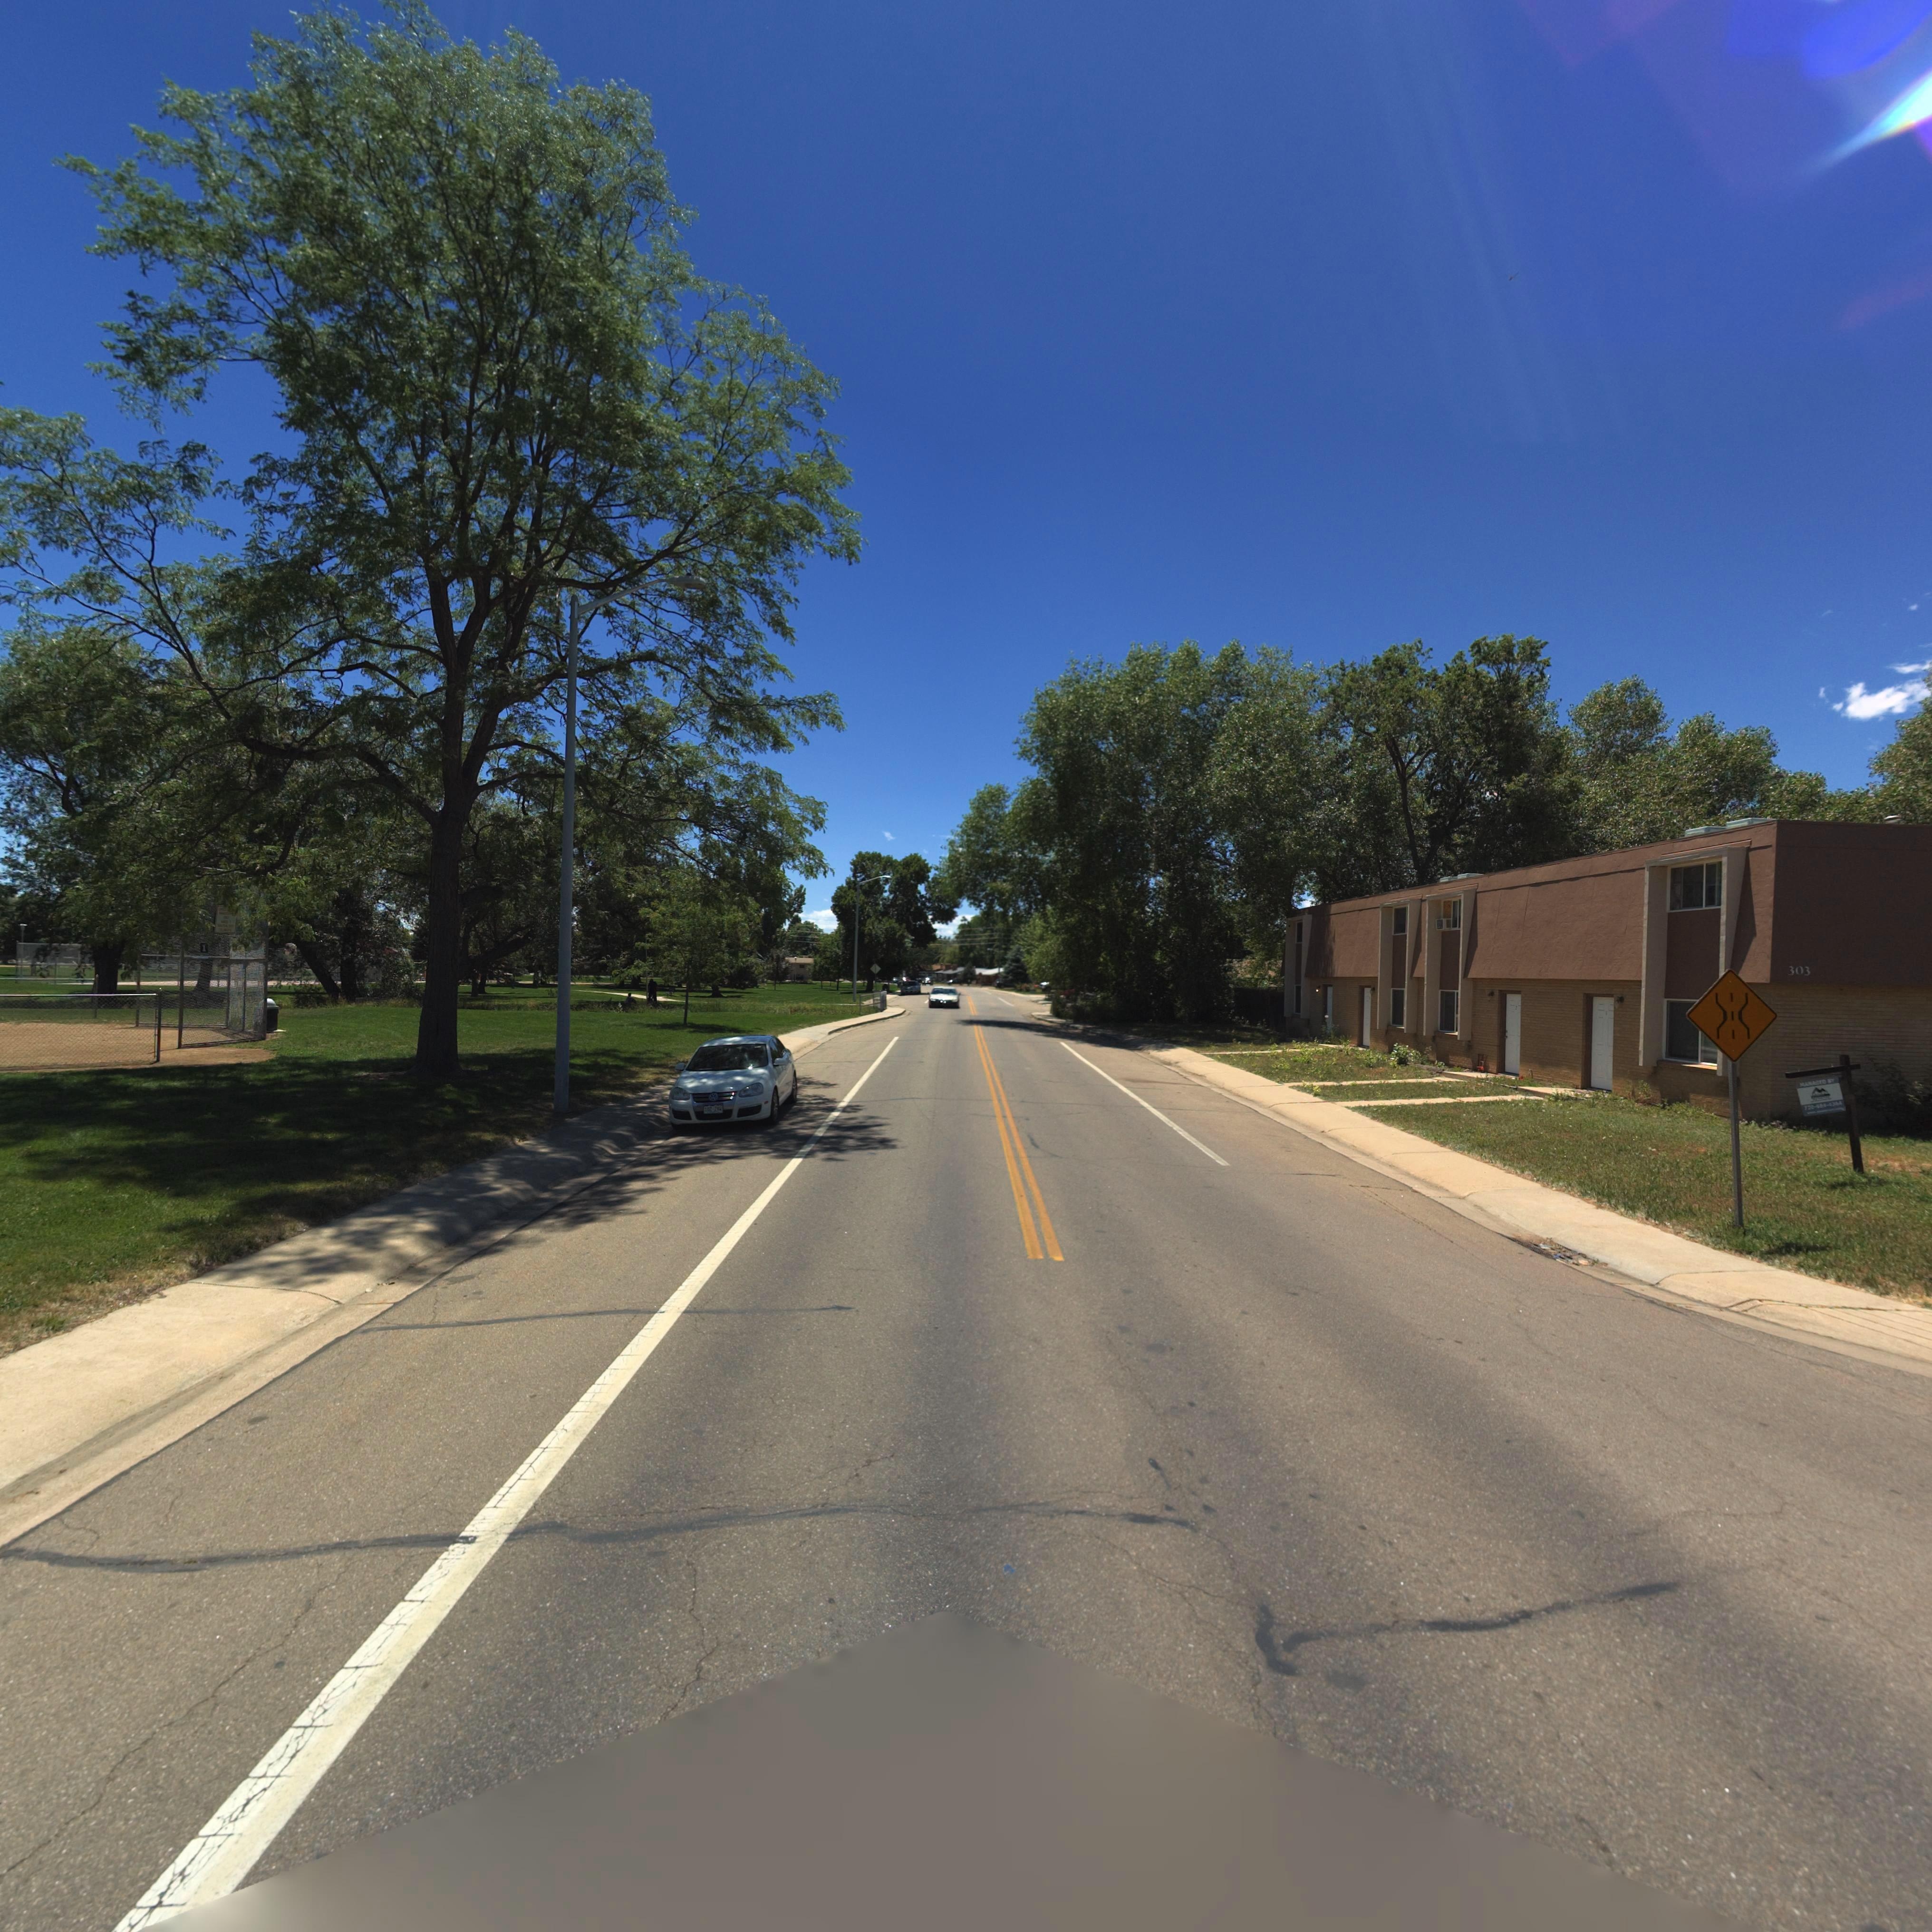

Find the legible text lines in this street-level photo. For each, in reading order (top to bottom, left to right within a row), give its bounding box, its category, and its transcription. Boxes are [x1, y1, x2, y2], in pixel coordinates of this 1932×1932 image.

[1786, 965, 1812, 977] StreetNumber: 303